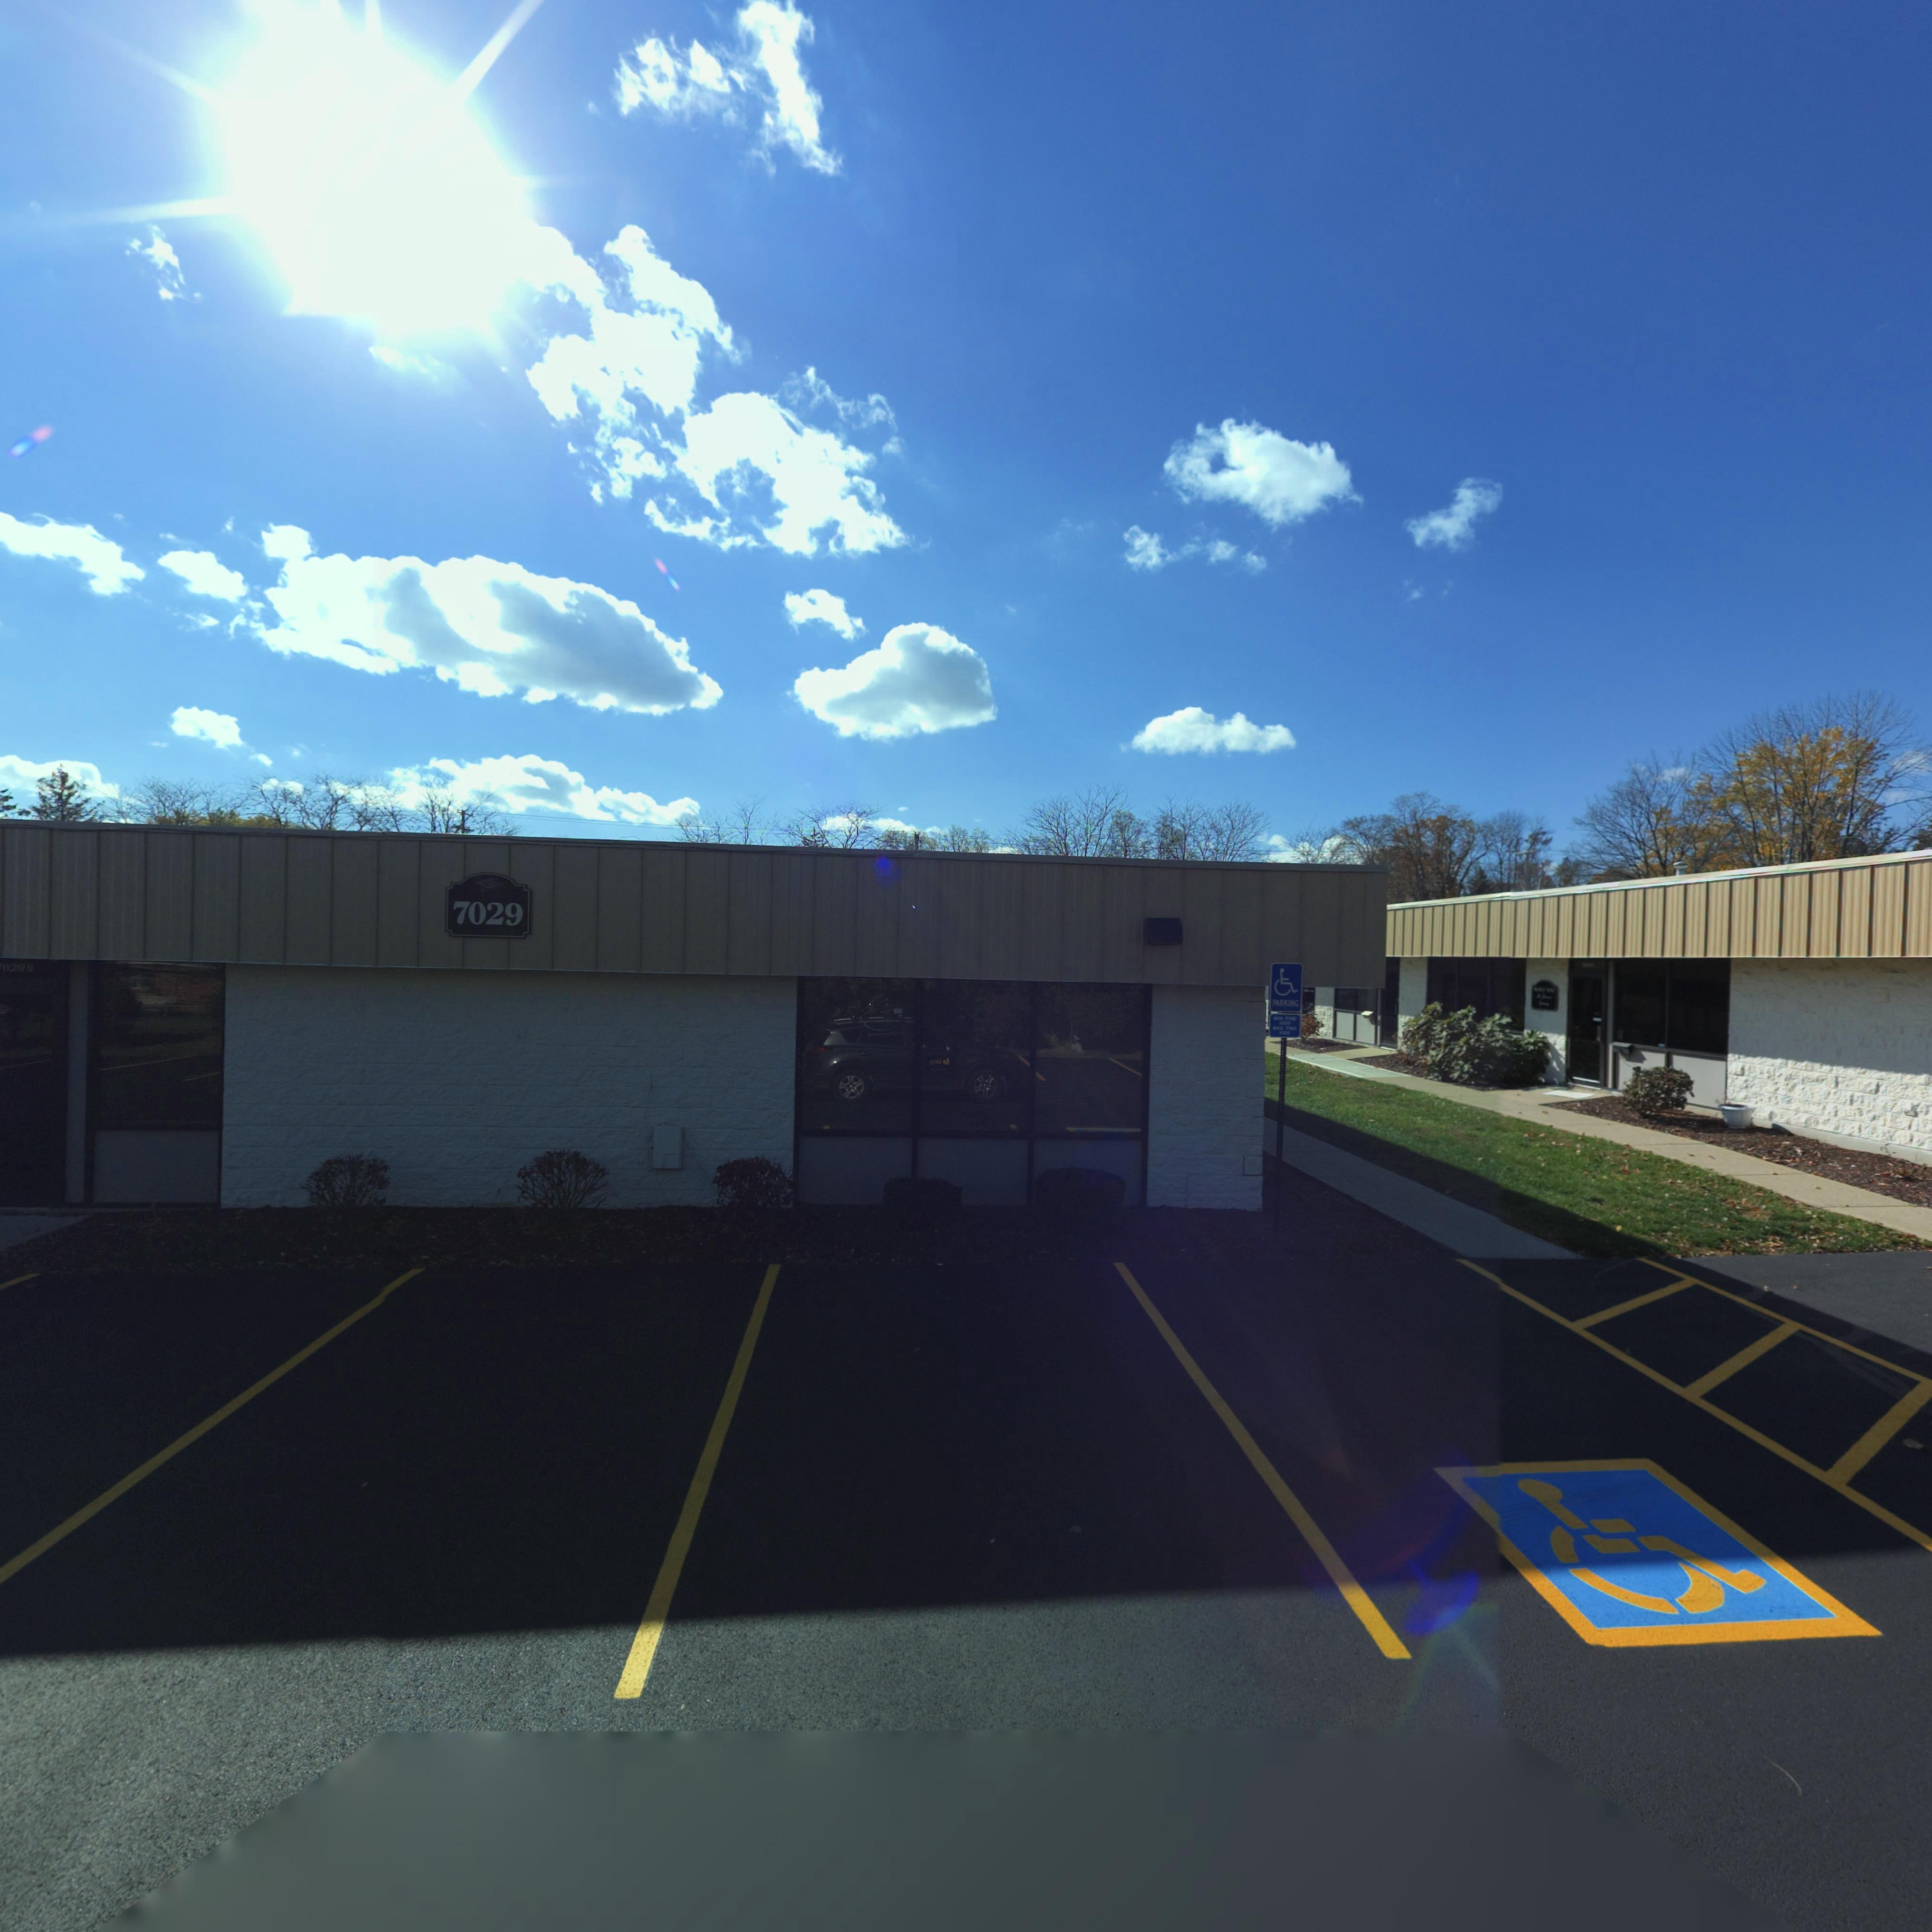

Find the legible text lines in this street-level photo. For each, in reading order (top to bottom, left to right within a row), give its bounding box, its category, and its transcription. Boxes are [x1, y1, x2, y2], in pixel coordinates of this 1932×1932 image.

[452, 899, 526, 928] StreetNumber: 7029
[2, 962, 35, 973] StreetNumber: 029 D